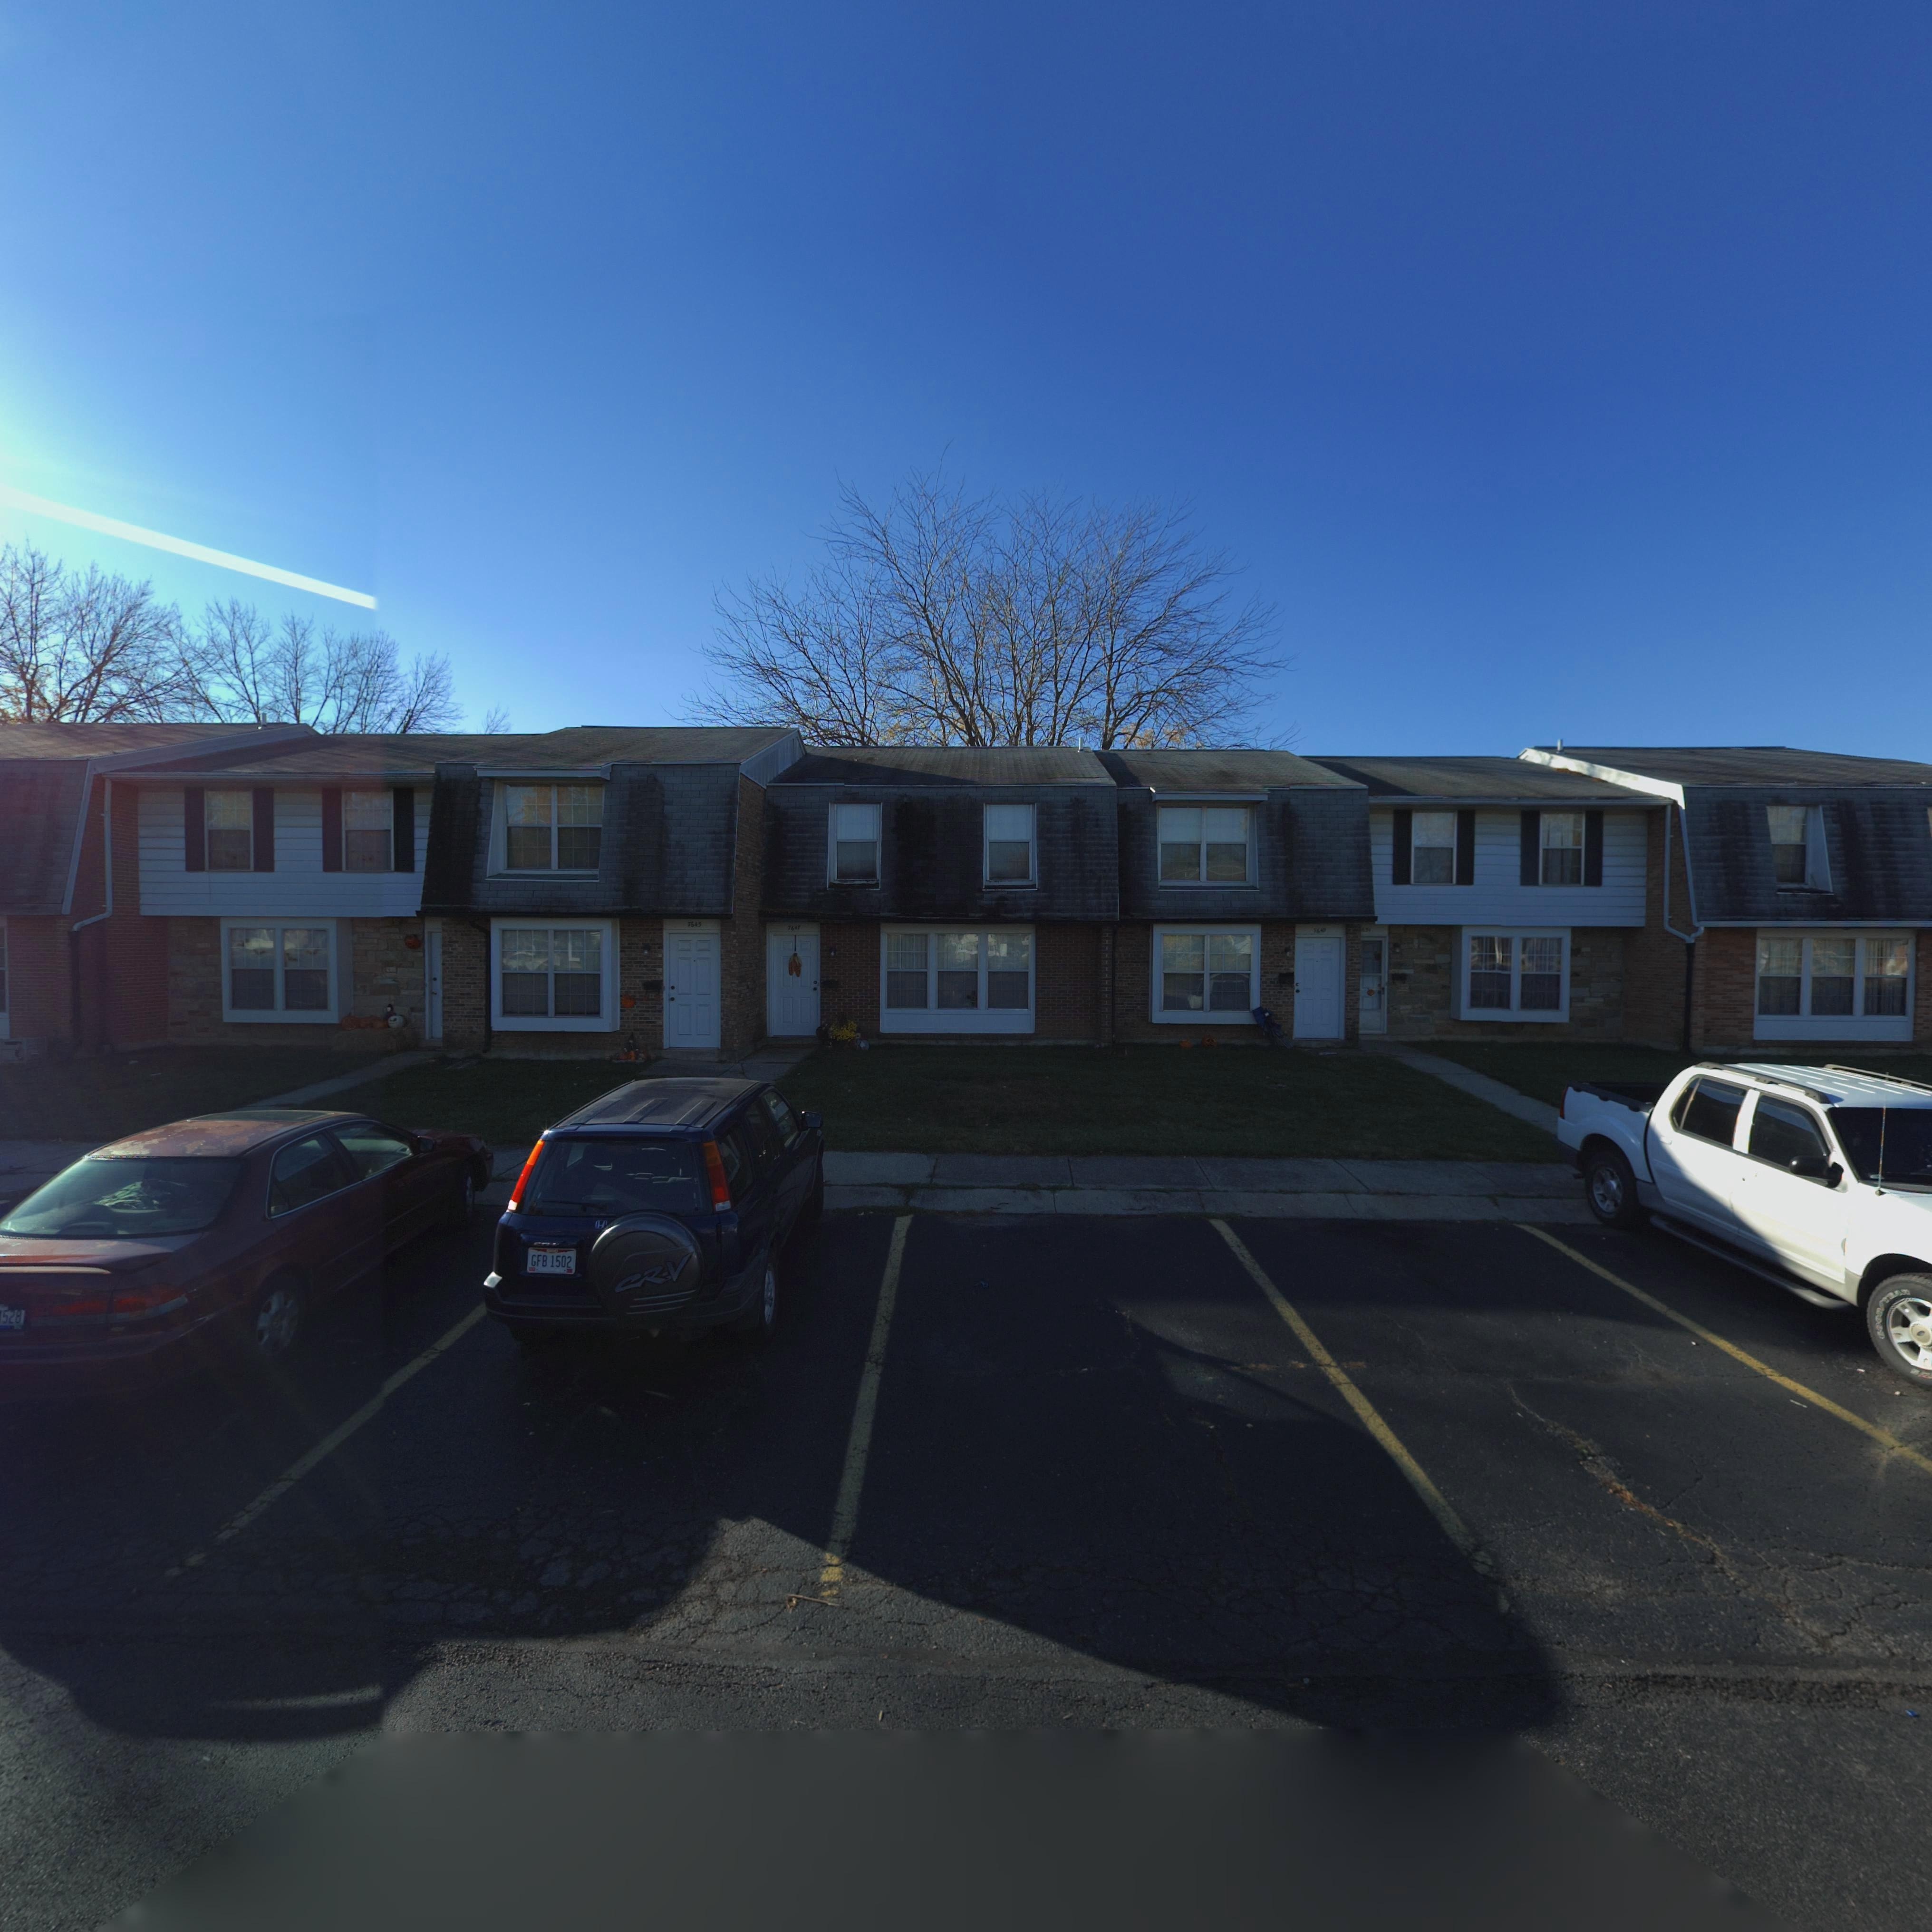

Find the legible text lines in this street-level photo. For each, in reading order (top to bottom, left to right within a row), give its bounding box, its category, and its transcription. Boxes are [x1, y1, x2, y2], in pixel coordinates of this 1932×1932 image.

[687, 921, 702, 927] StreetNumber: 7645
[787, 925, 802, 931] StreetNumber: 7647
[1313, 927, 1327, 934] StreetNumber: 7649
[1361, 927, 1372, 933] StreetNumber: 651